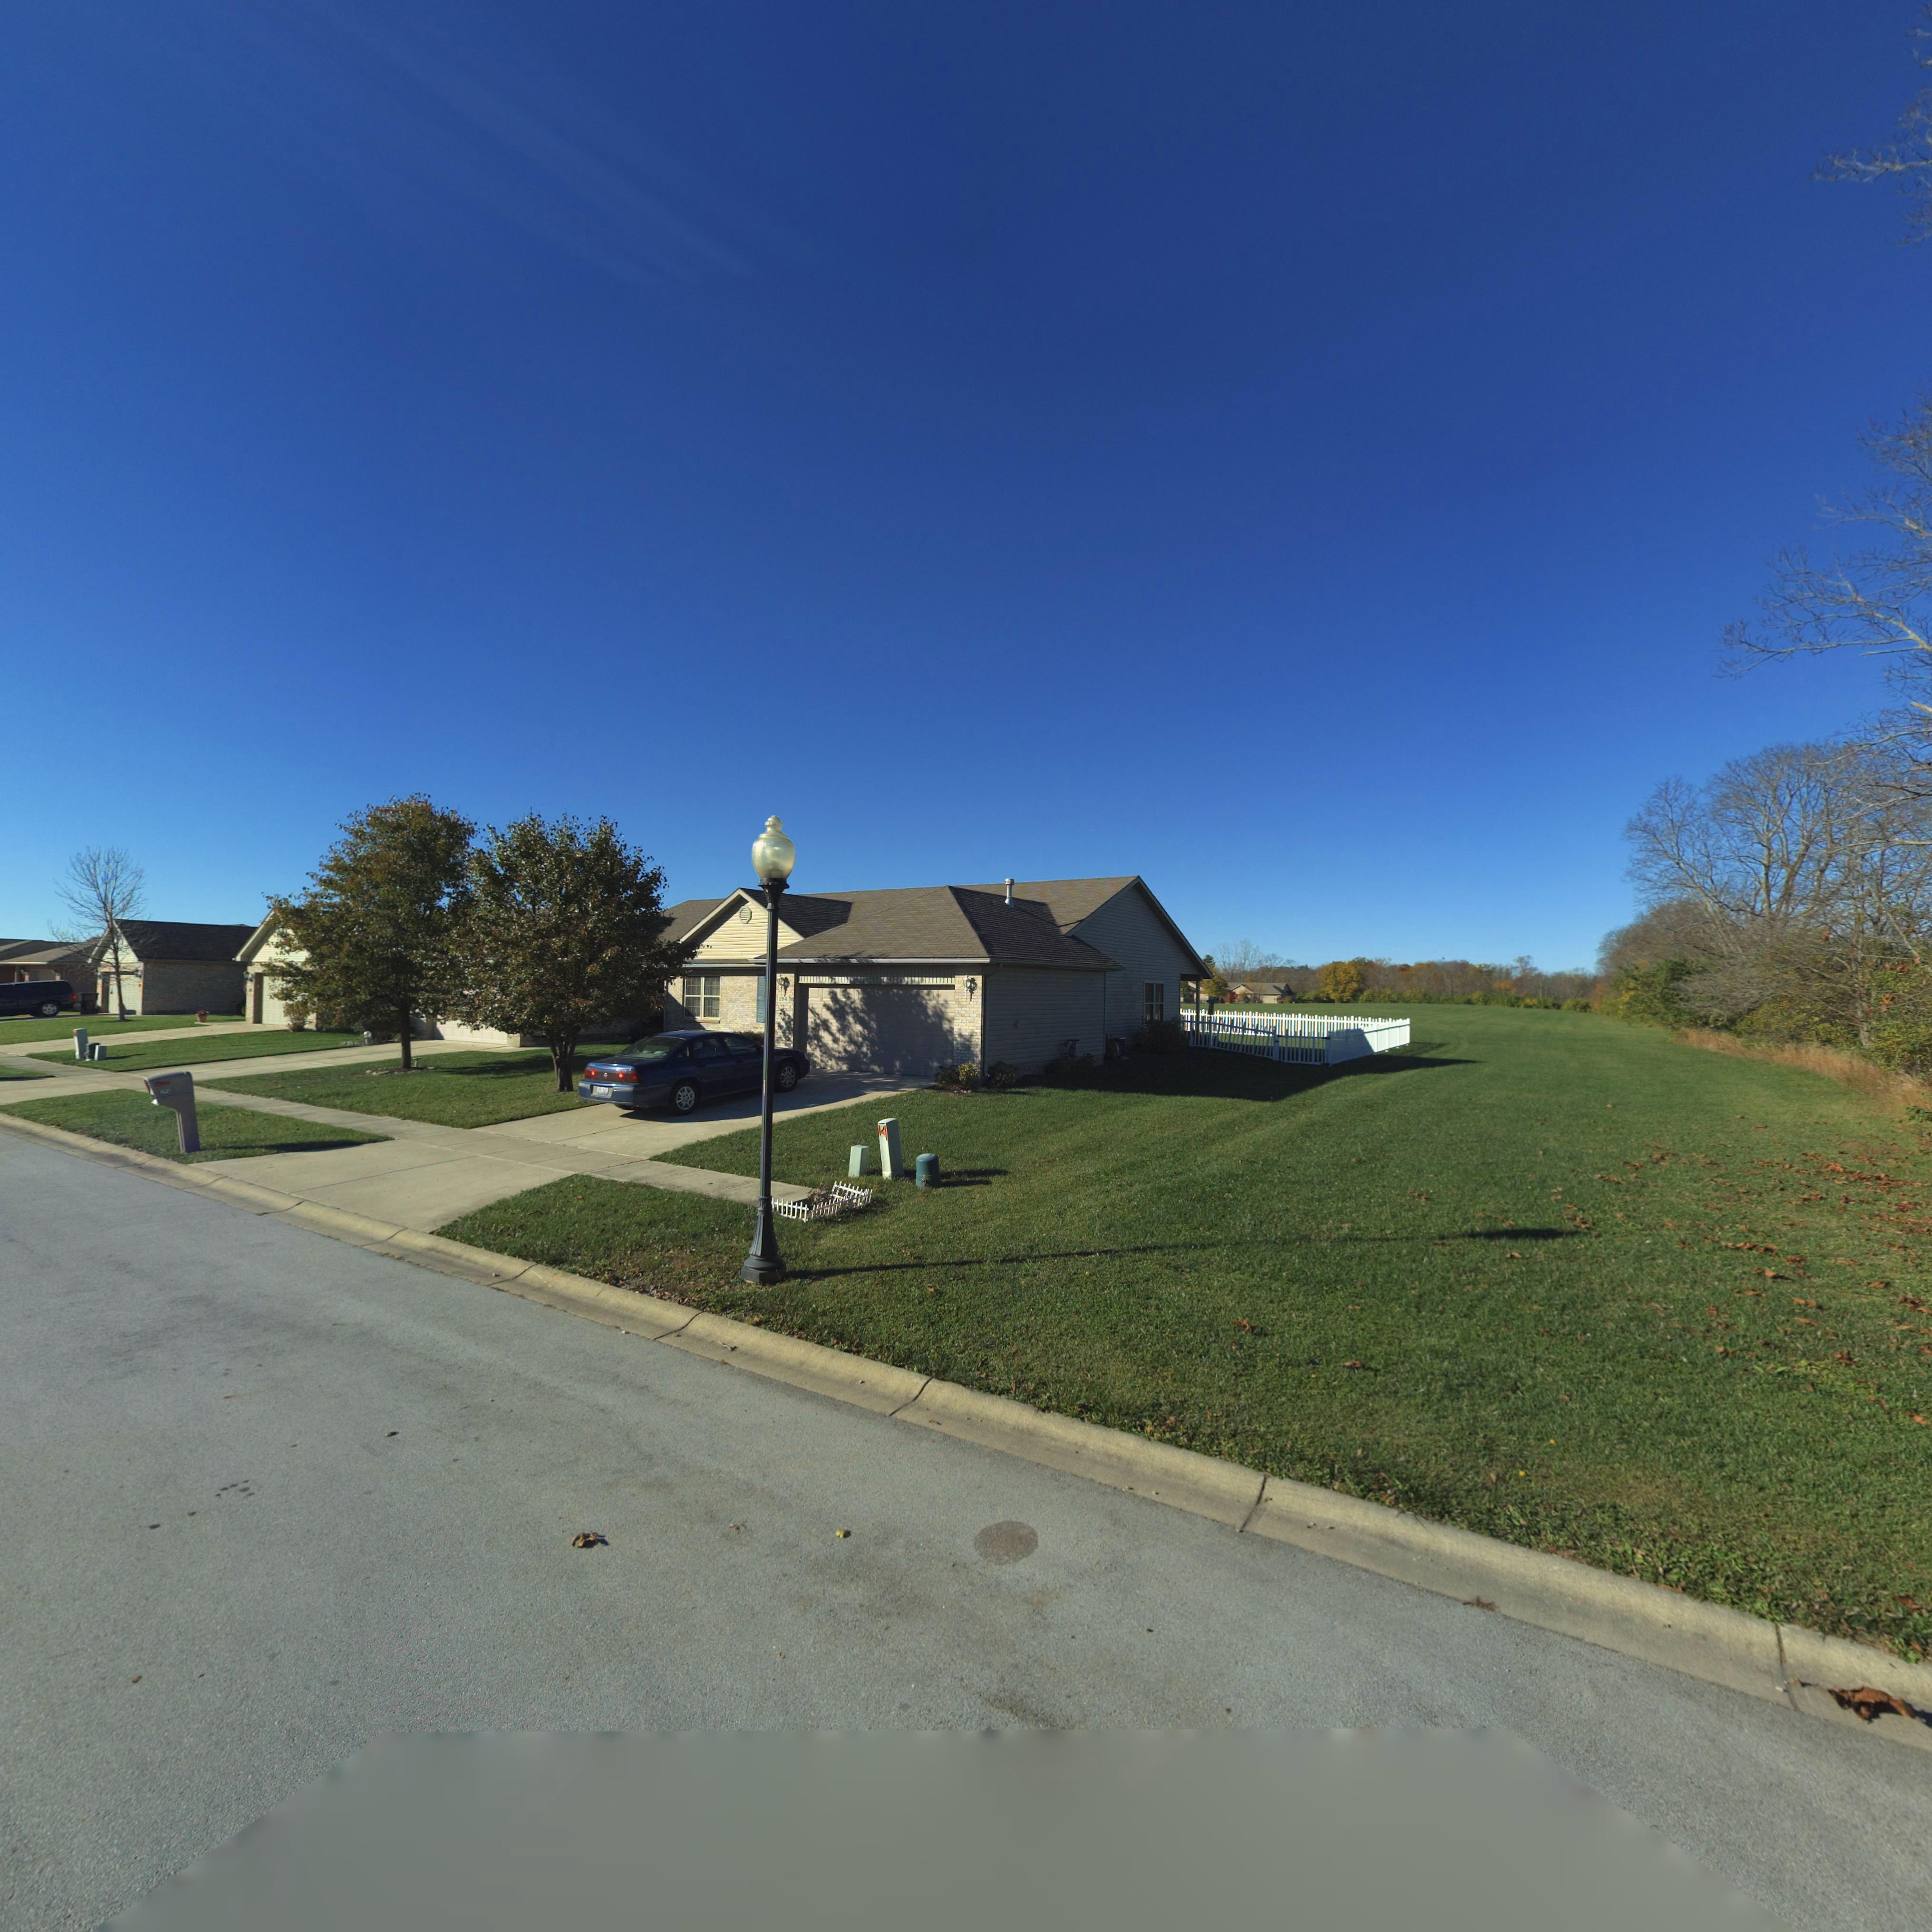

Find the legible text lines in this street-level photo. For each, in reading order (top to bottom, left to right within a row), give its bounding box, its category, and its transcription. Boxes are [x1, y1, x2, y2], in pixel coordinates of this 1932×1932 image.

[778, 995, 788, 1002] StreetNumber: 184